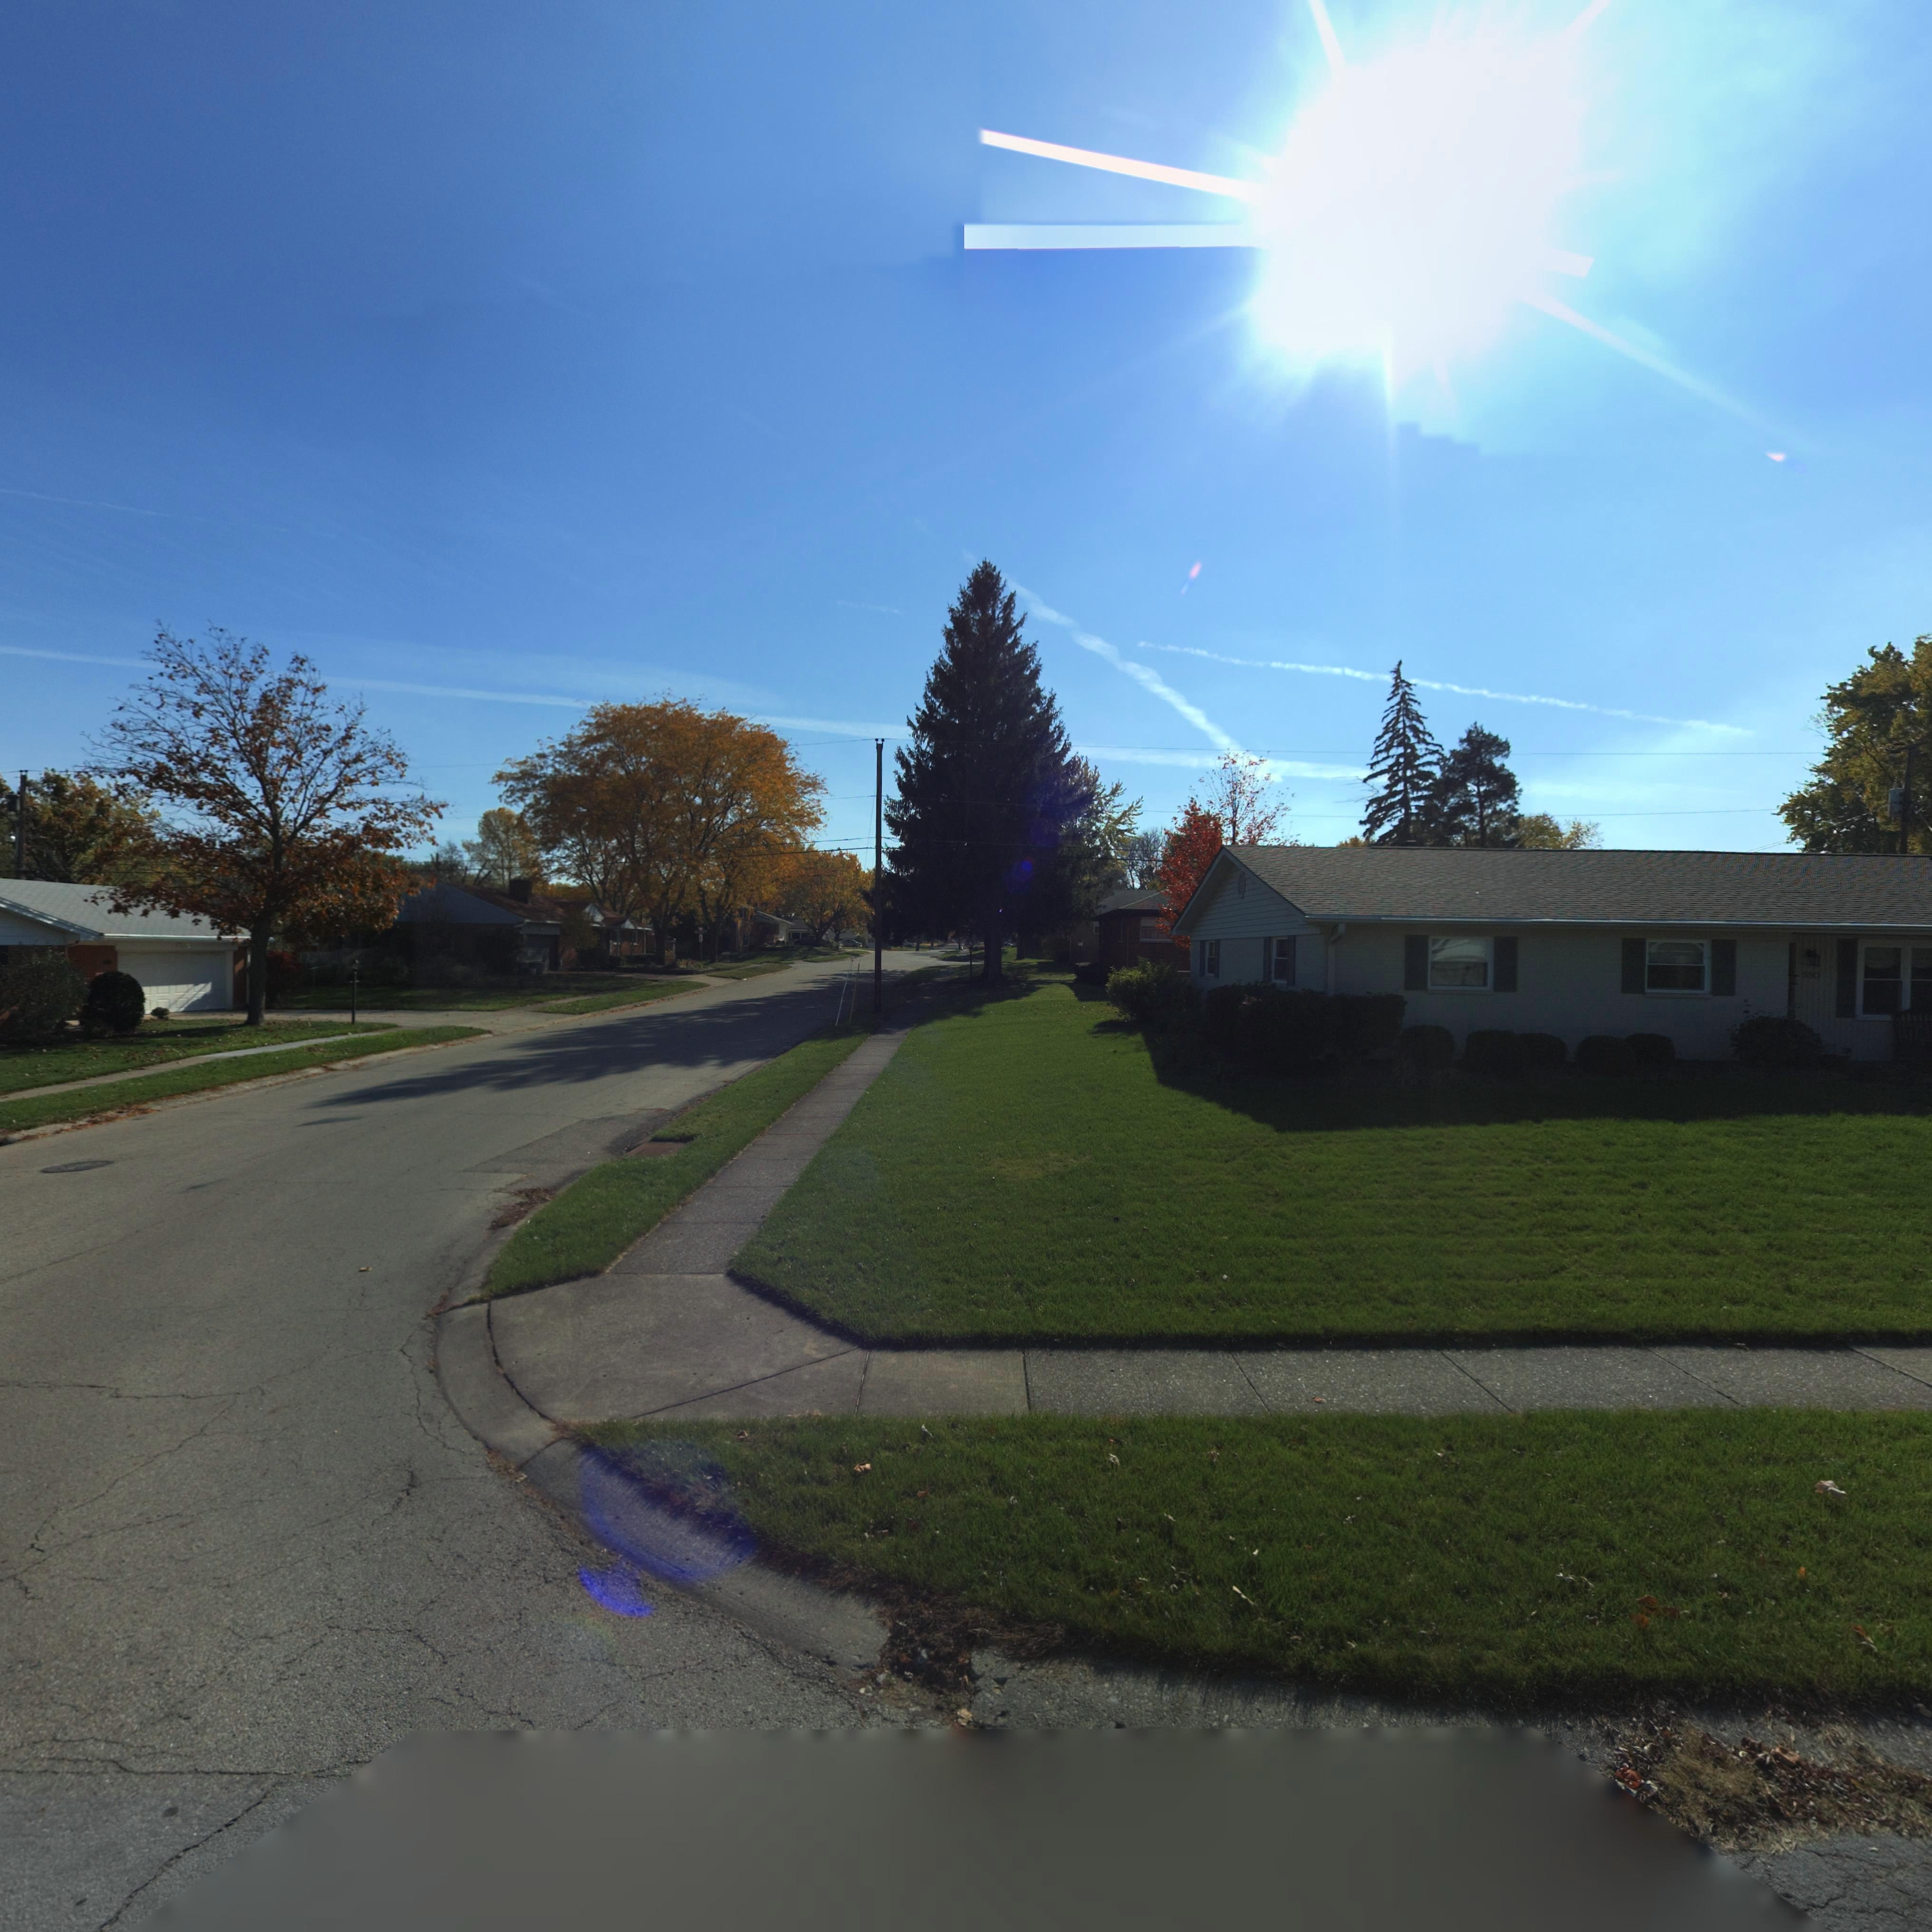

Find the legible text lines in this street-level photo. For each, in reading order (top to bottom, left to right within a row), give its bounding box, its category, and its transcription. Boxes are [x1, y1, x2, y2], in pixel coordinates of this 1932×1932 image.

[1802, 971, 1820, 979] StreetNumber: 980